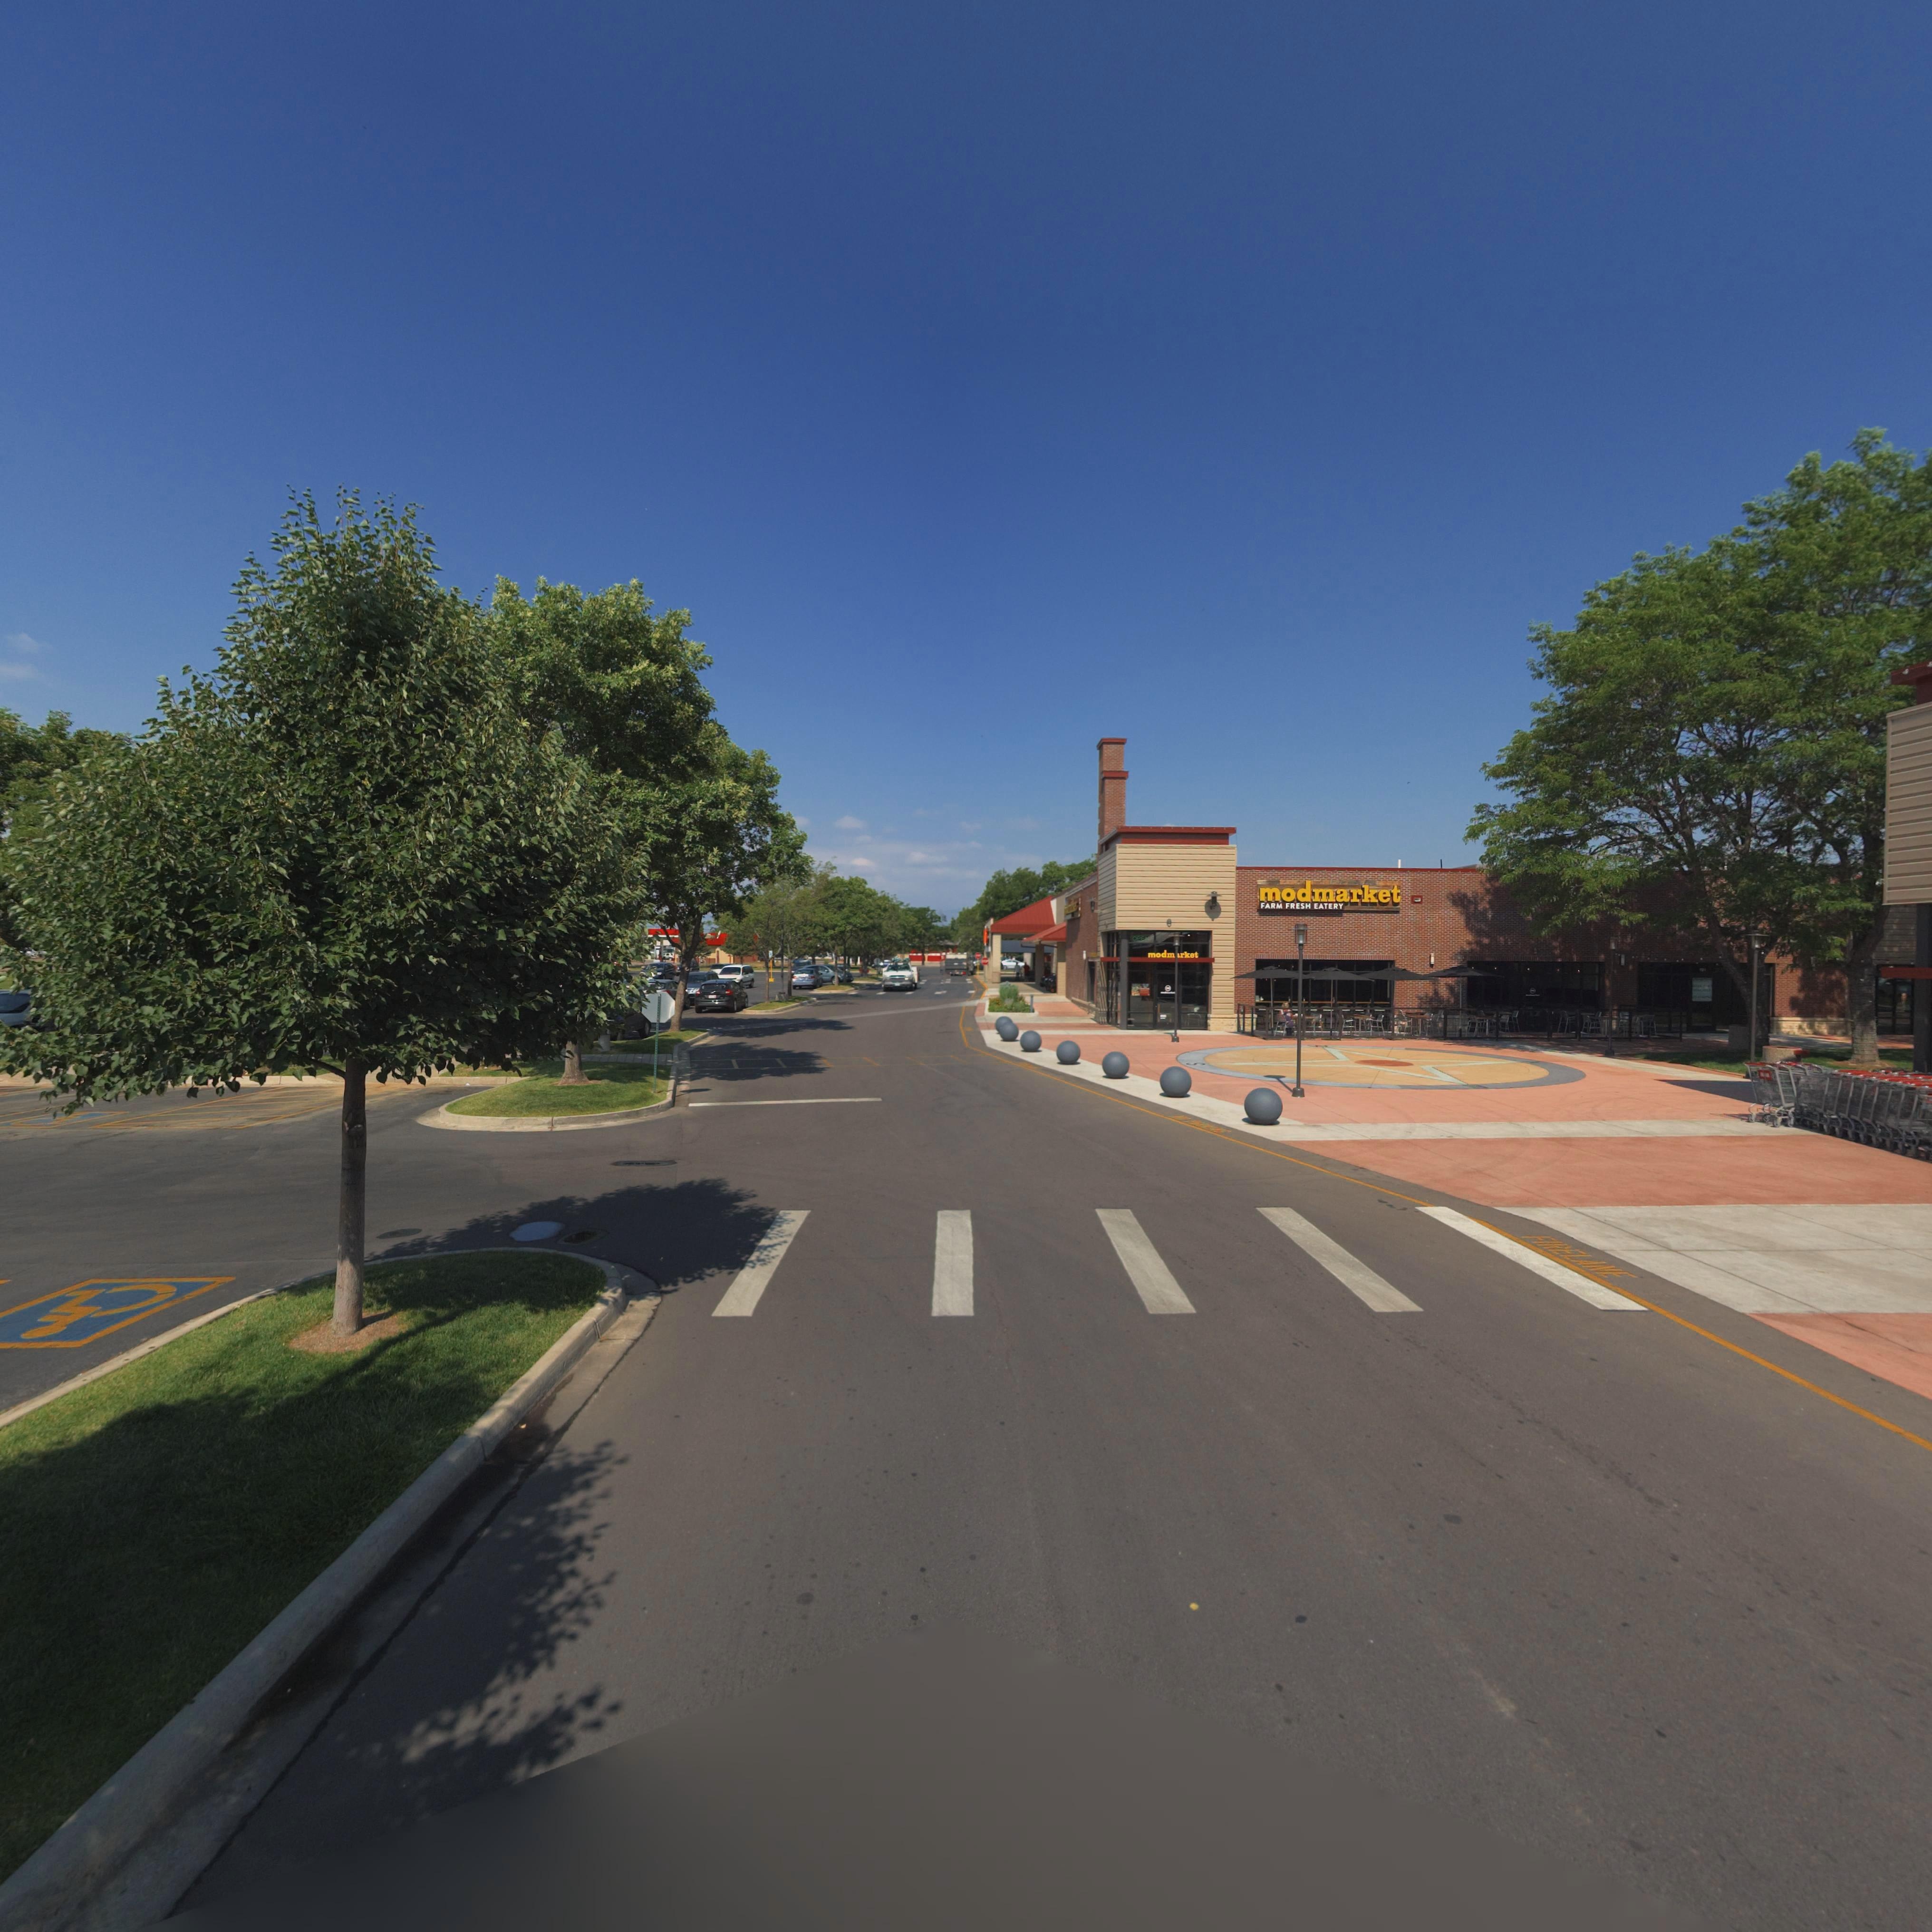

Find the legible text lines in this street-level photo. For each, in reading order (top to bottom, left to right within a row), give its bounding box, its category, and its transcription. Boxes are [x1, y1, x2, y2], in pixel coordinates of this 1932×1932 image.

[1260, 879, 1401, 903] BusinessName: modmarket
[1260, 902, 1343, 909] BusinessName: FARM FRESH EATERY
[1147, 949, 1198, 958] BusinessName: modm*rket
[1699, 967, 1706, 972] StreetNumber: *01